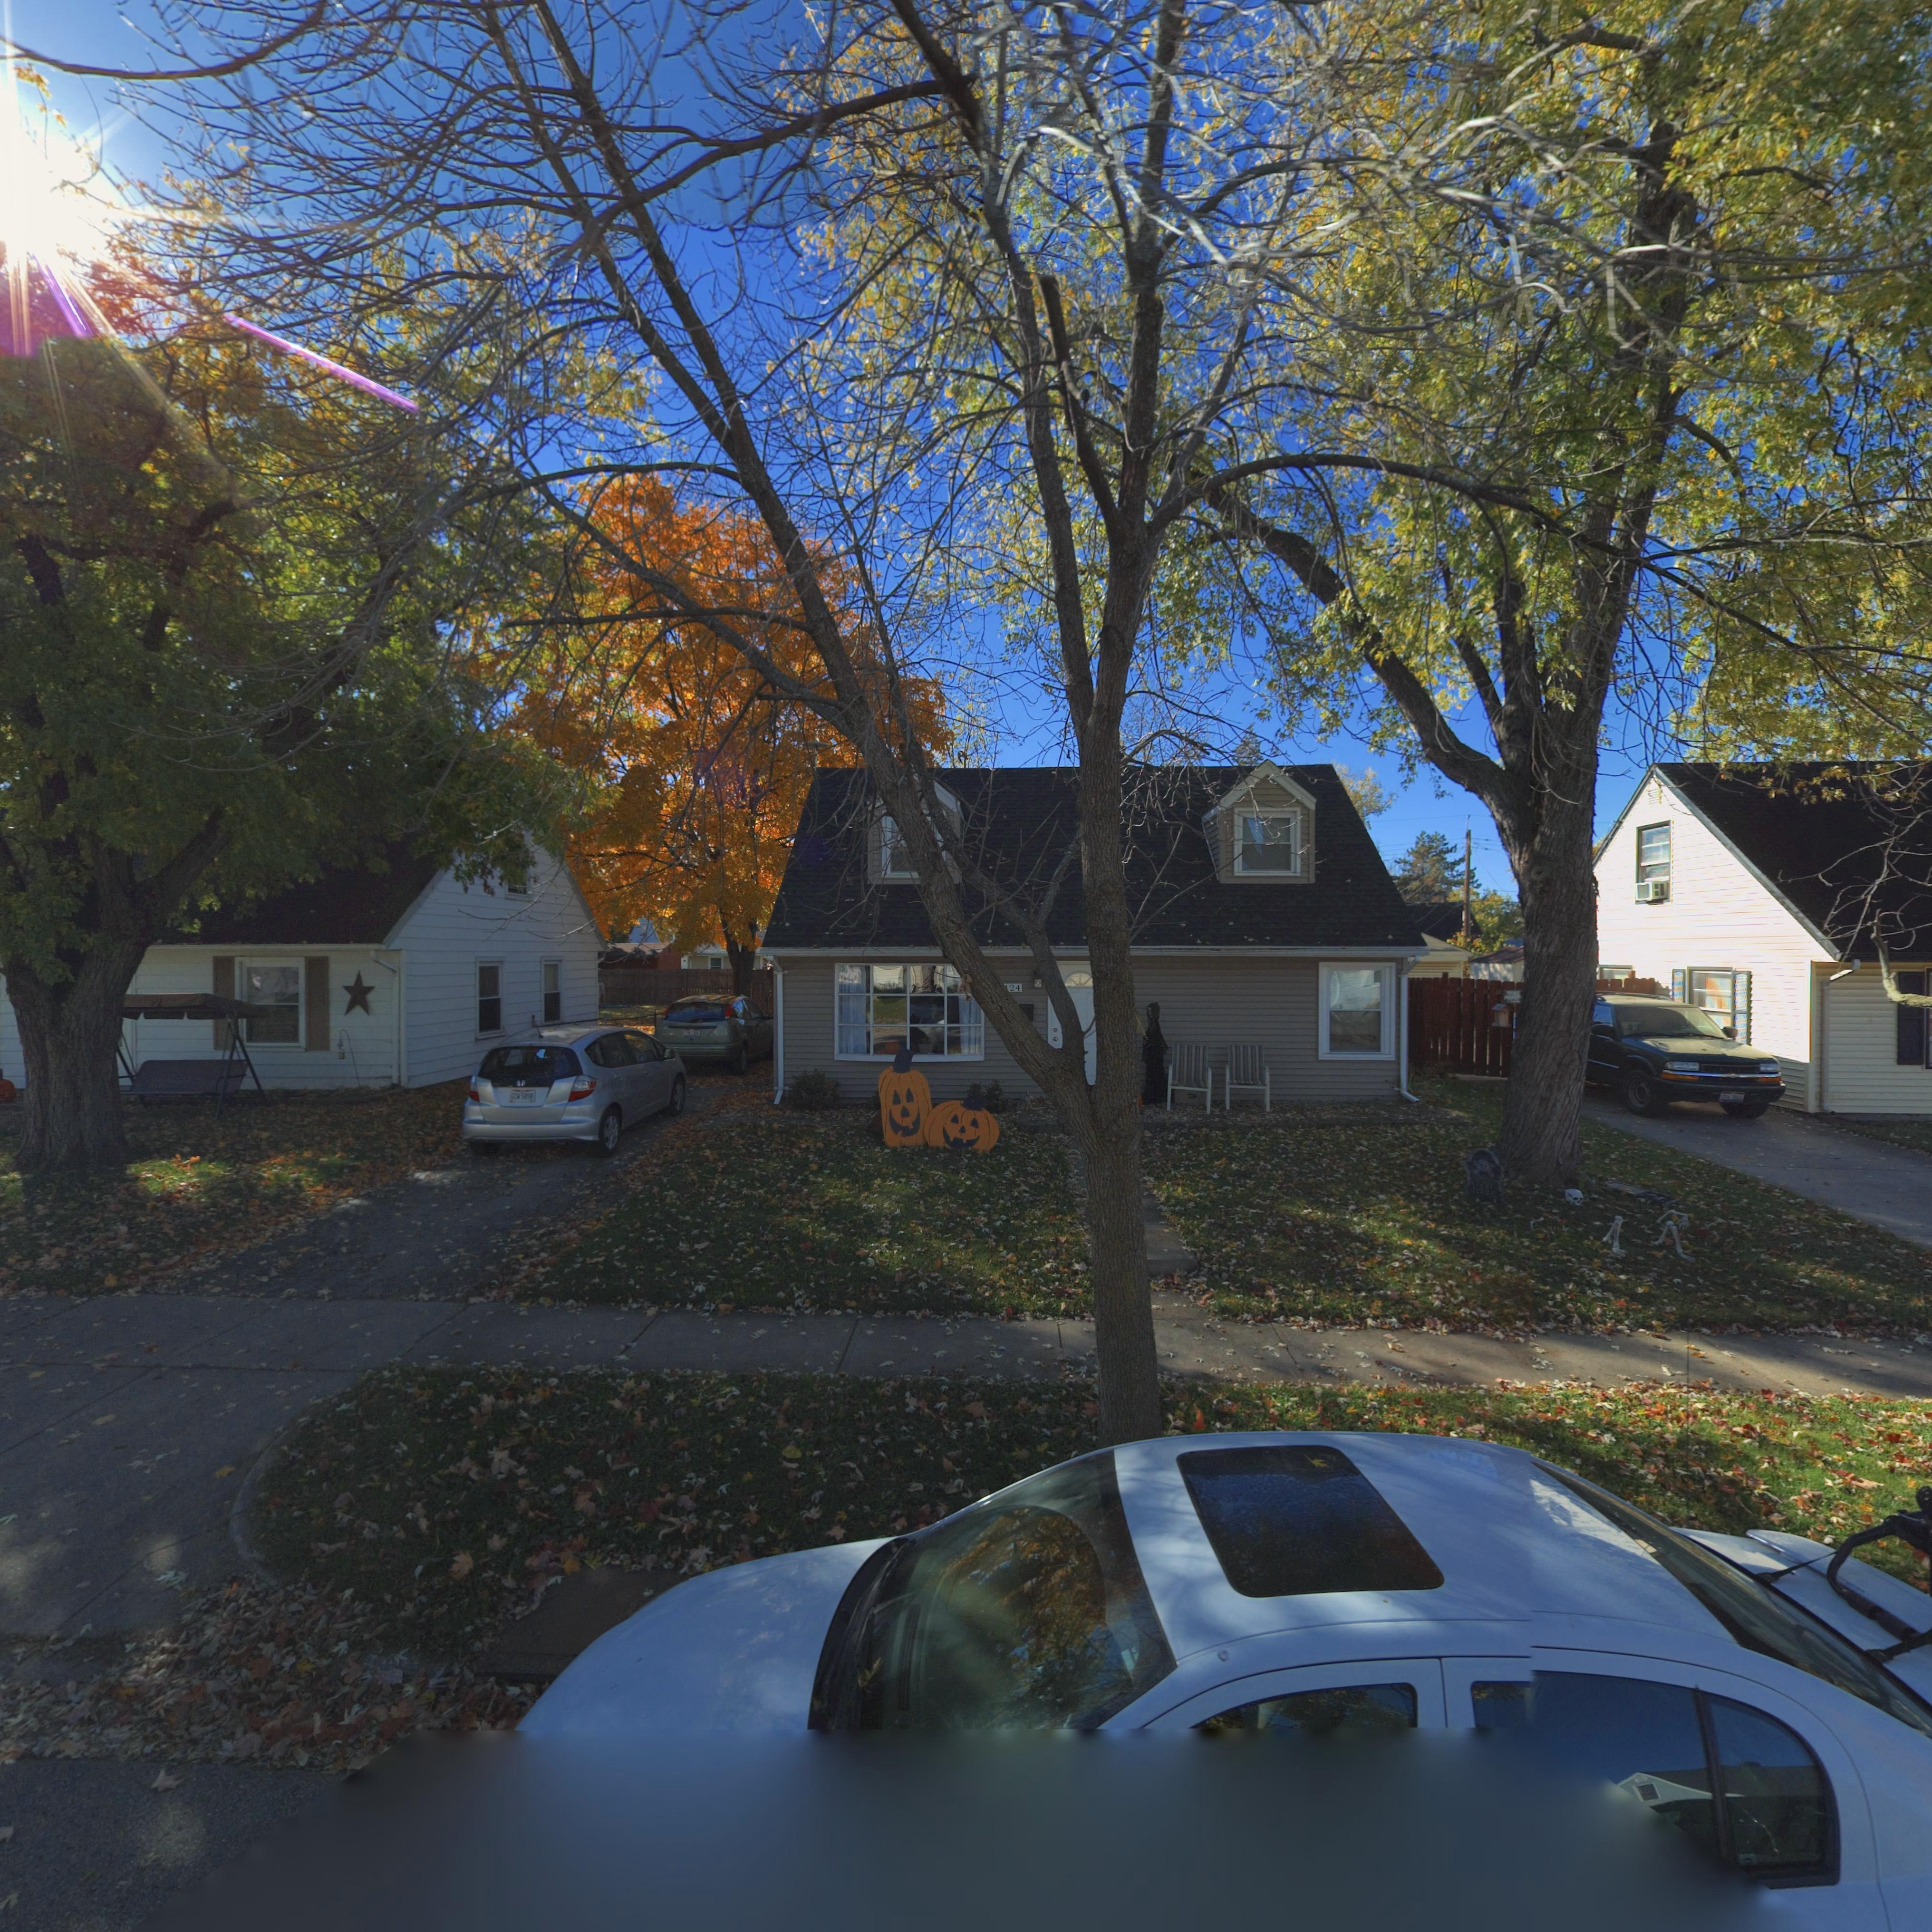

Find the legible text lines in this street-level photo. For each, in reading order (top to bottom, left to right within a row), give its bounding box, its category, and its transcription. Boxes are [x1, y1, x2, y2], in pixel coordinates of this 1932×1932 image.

[1009, 984, 1021, 992] StreetNumber: 24